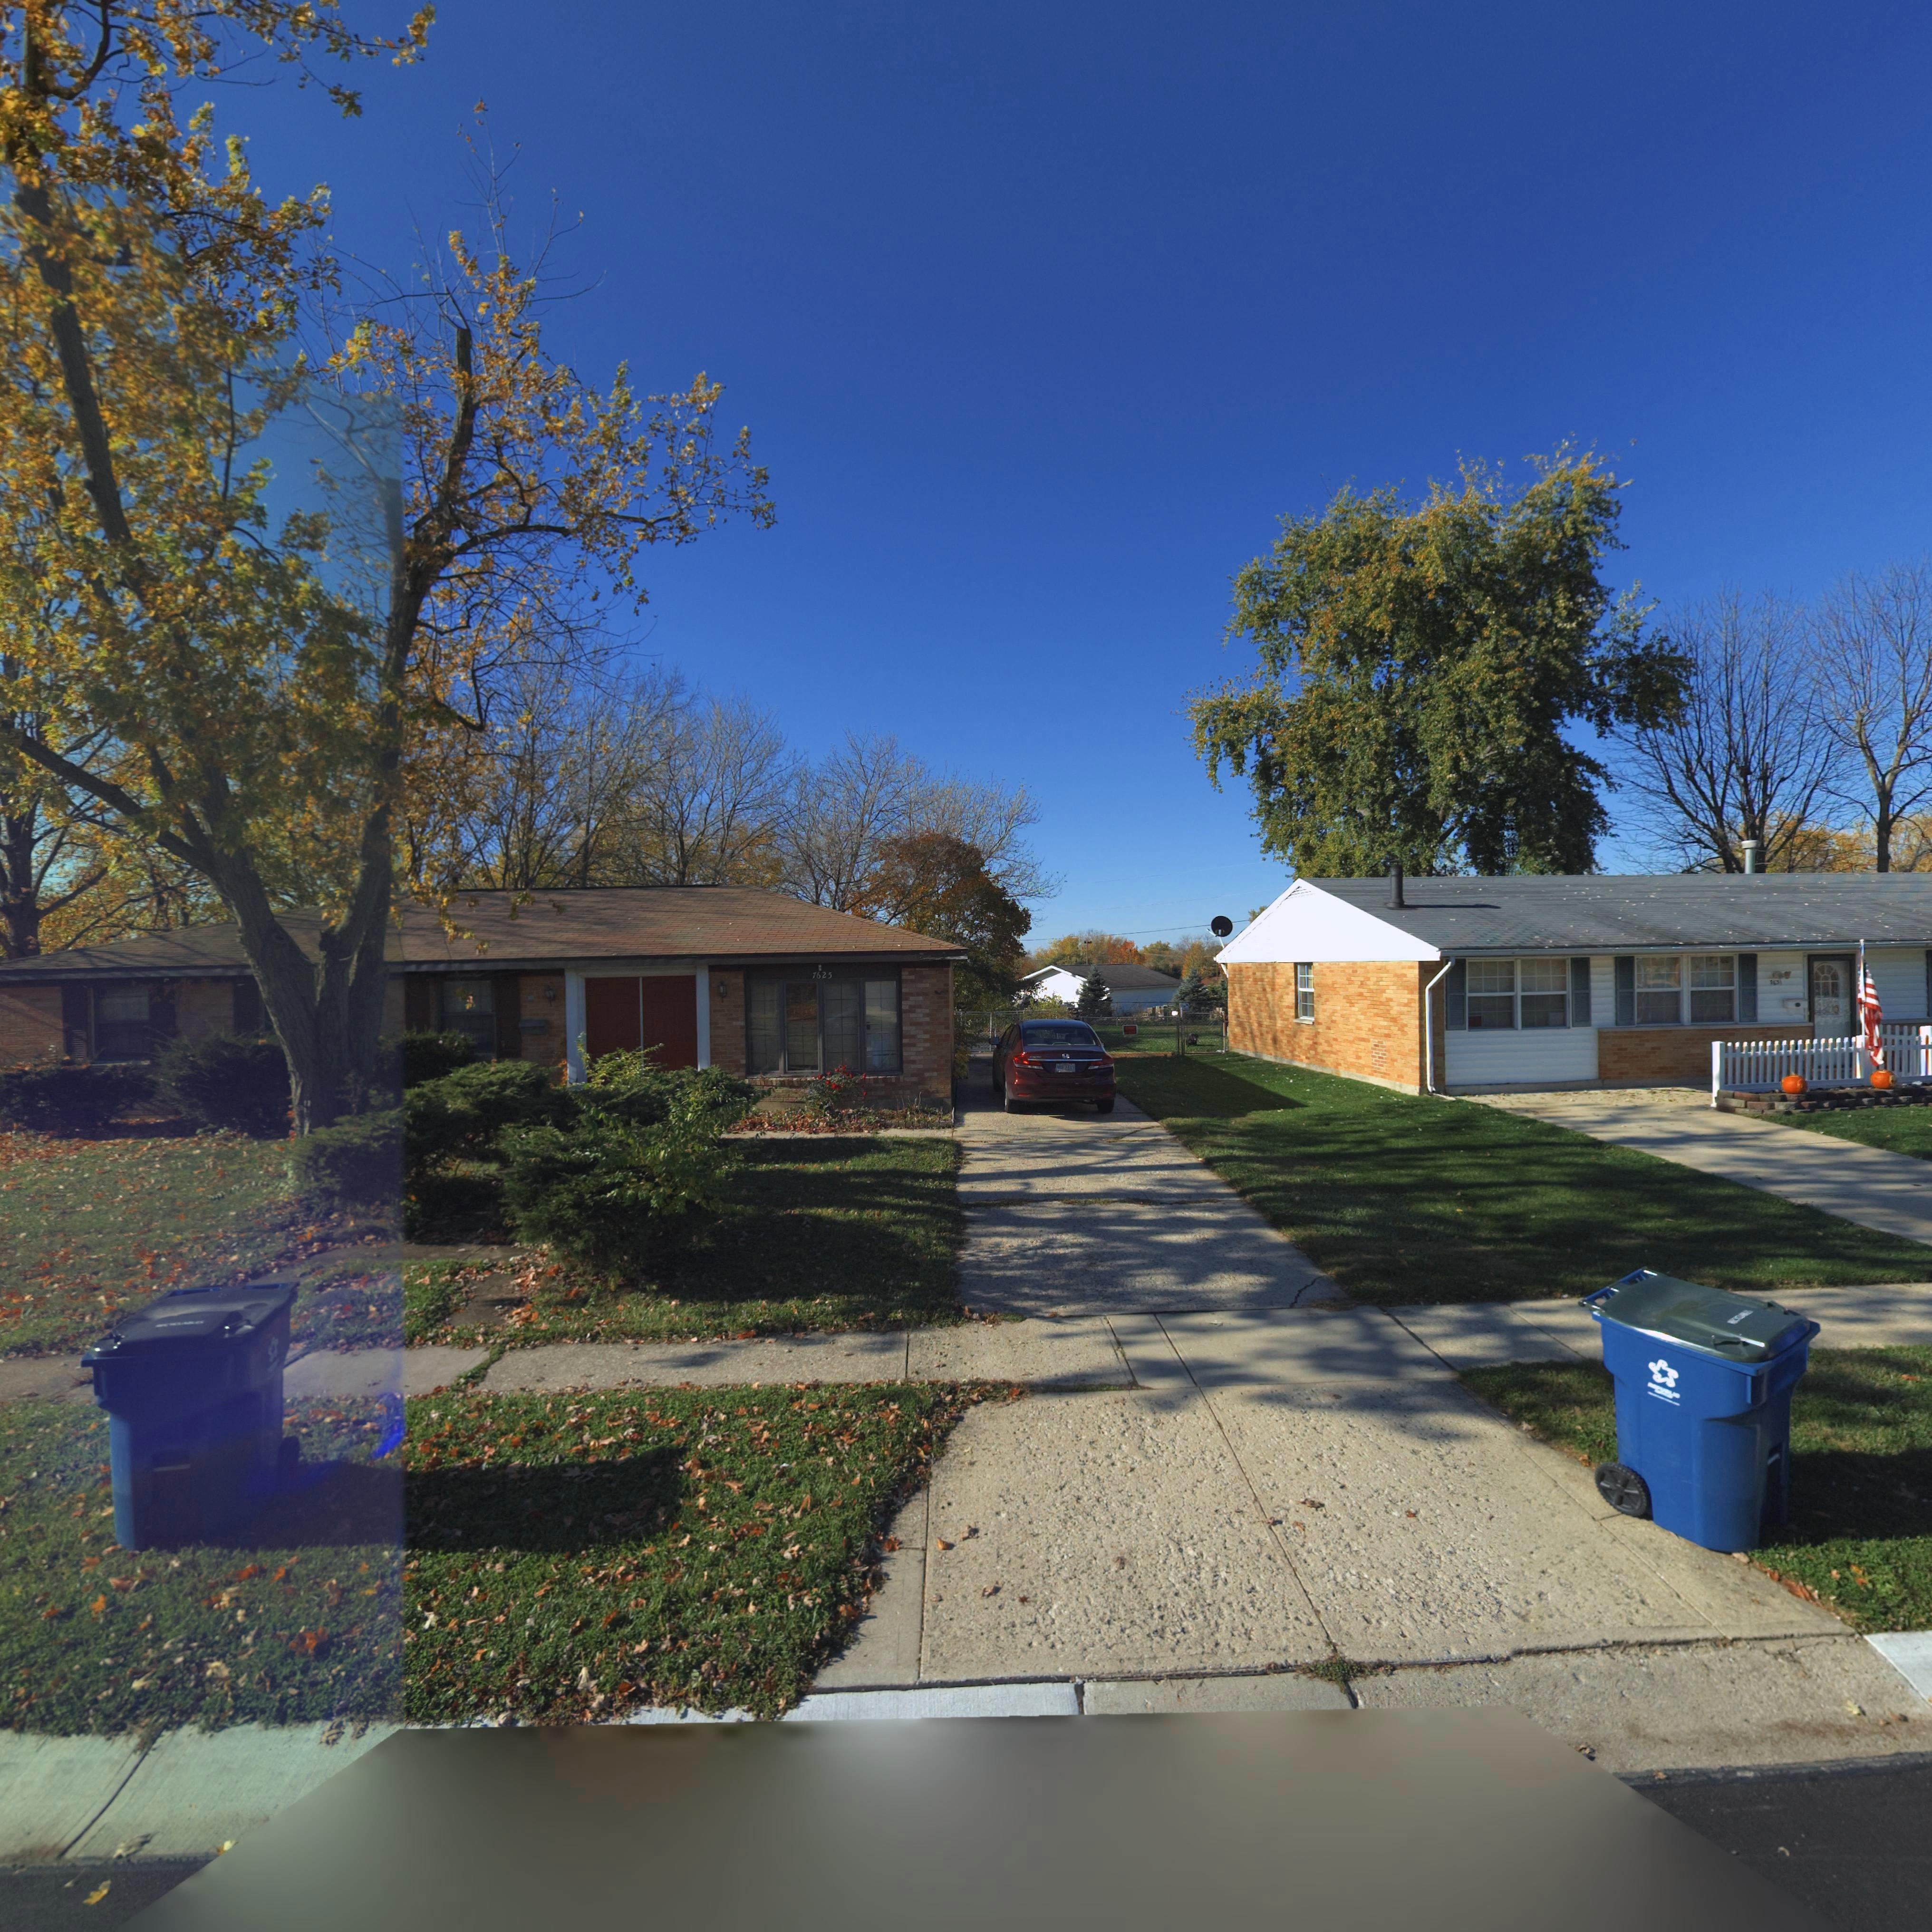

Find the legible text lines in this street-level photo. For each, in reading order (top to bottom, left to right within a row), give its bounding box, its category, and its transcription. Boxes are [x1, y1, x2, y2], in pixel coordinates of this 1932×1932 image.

[811, 971, 833, 980] StreetNumber: 7625